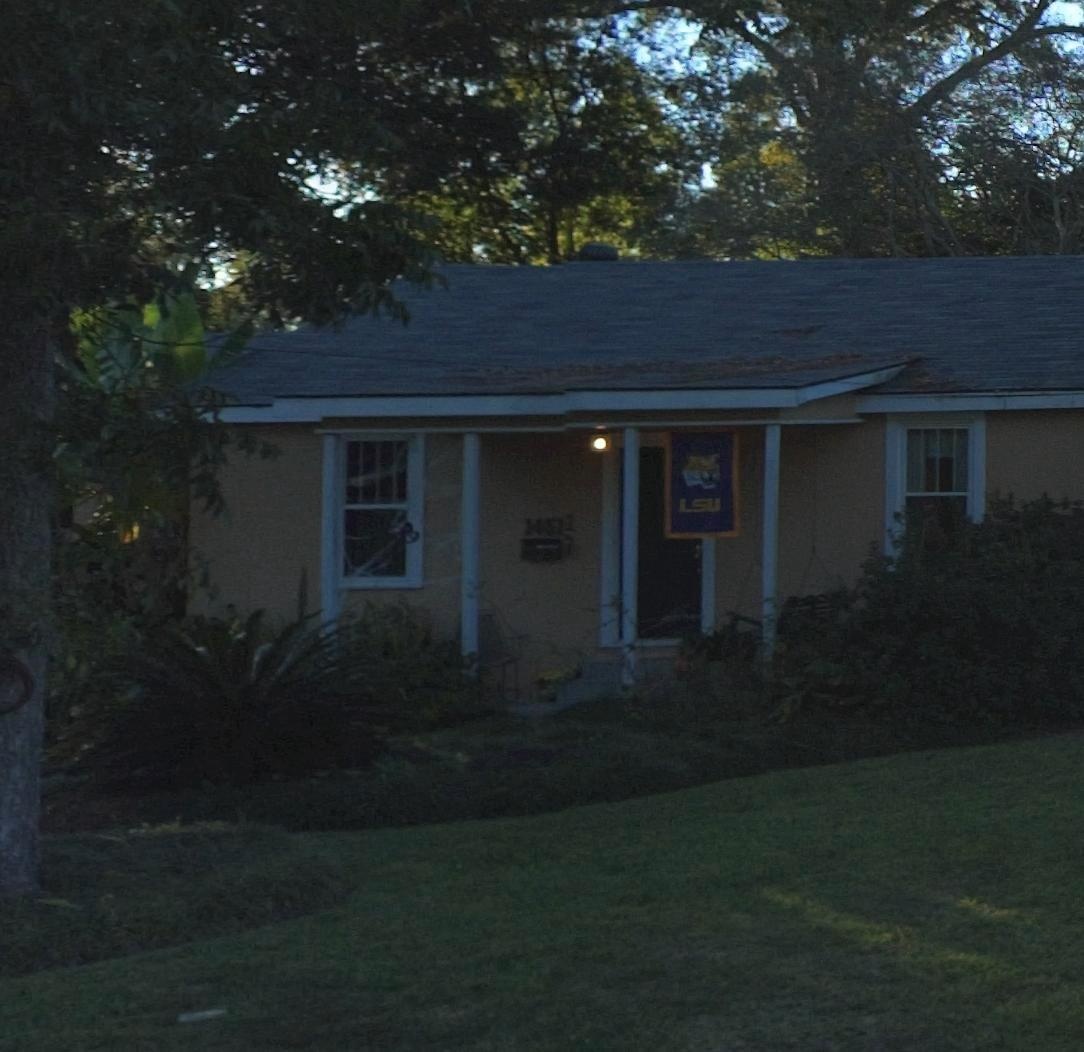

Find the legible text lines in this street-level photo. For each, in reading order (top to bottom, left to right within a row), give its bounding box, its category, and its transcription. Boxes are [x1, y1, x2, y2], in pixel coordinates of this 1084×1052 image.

[678, 496, 722, 514] None: LSU
[523, 515, 566, 537] StreetNumber: 1451